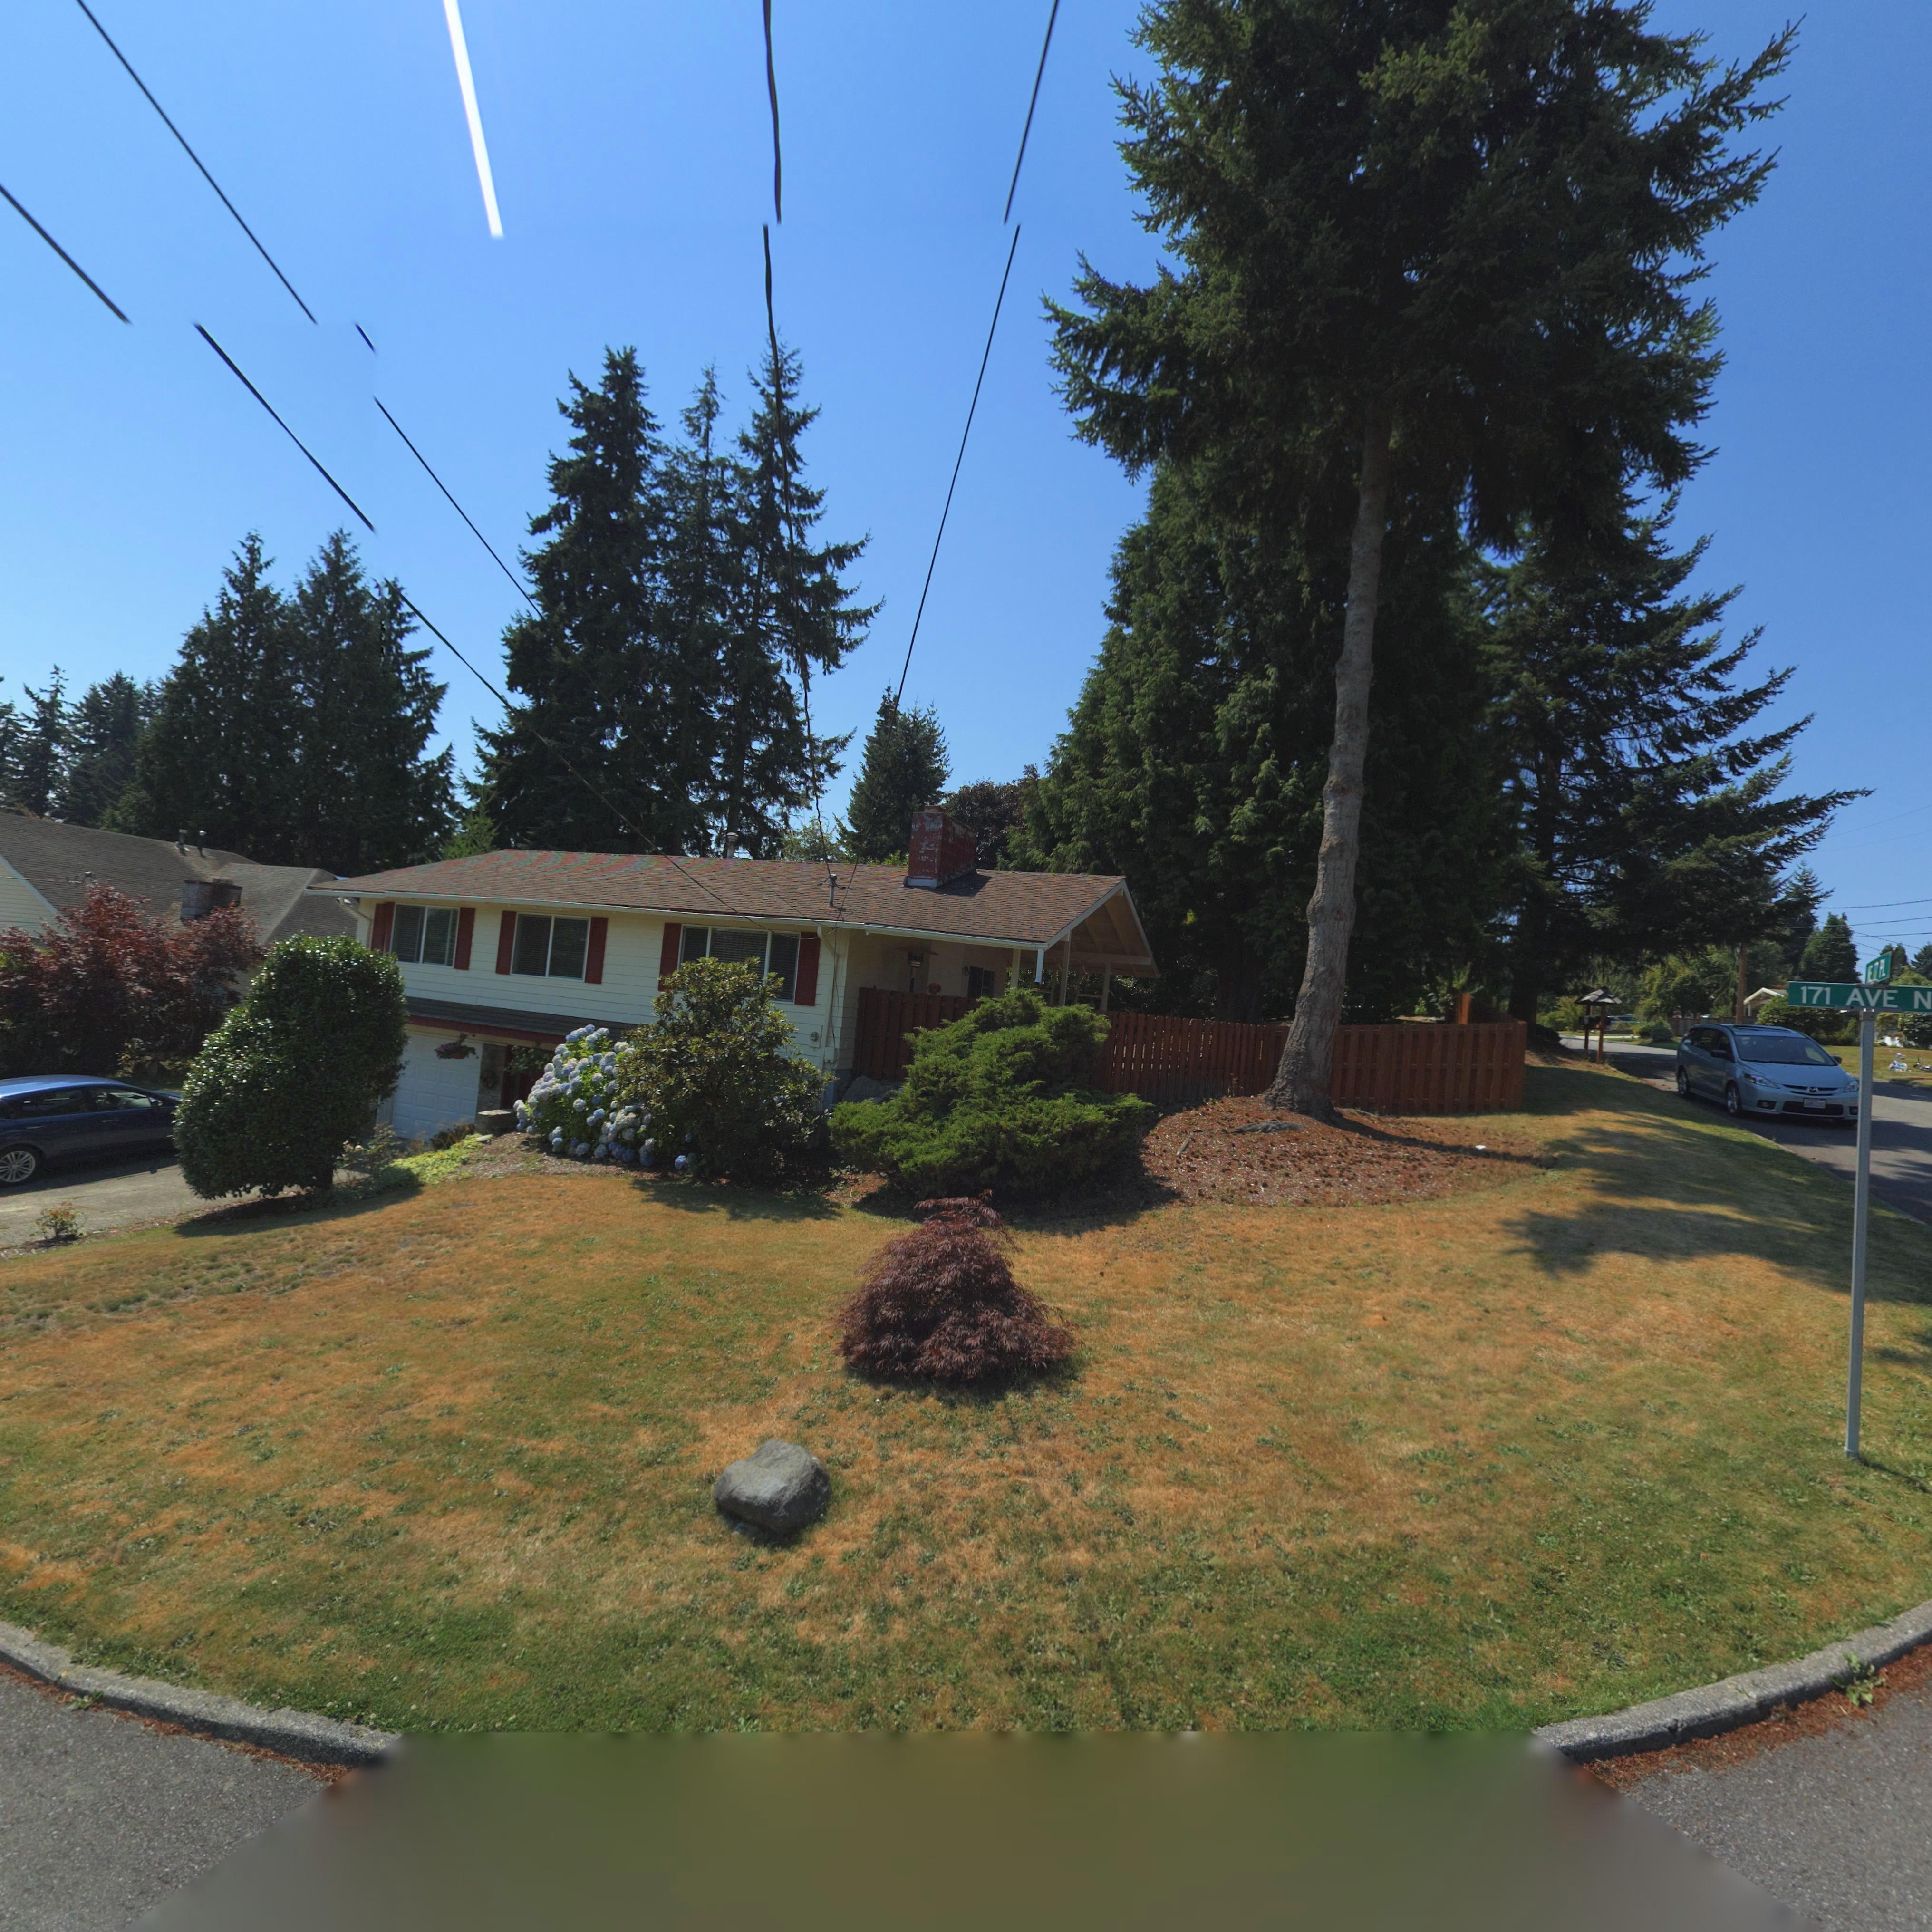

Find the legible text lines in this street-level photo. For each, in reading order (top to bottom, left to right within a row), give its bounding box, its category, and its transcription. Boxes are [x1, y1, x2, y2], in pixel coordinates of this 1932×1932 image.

[1798, 985, 1932, 1010] StreetName: 171 AVE N